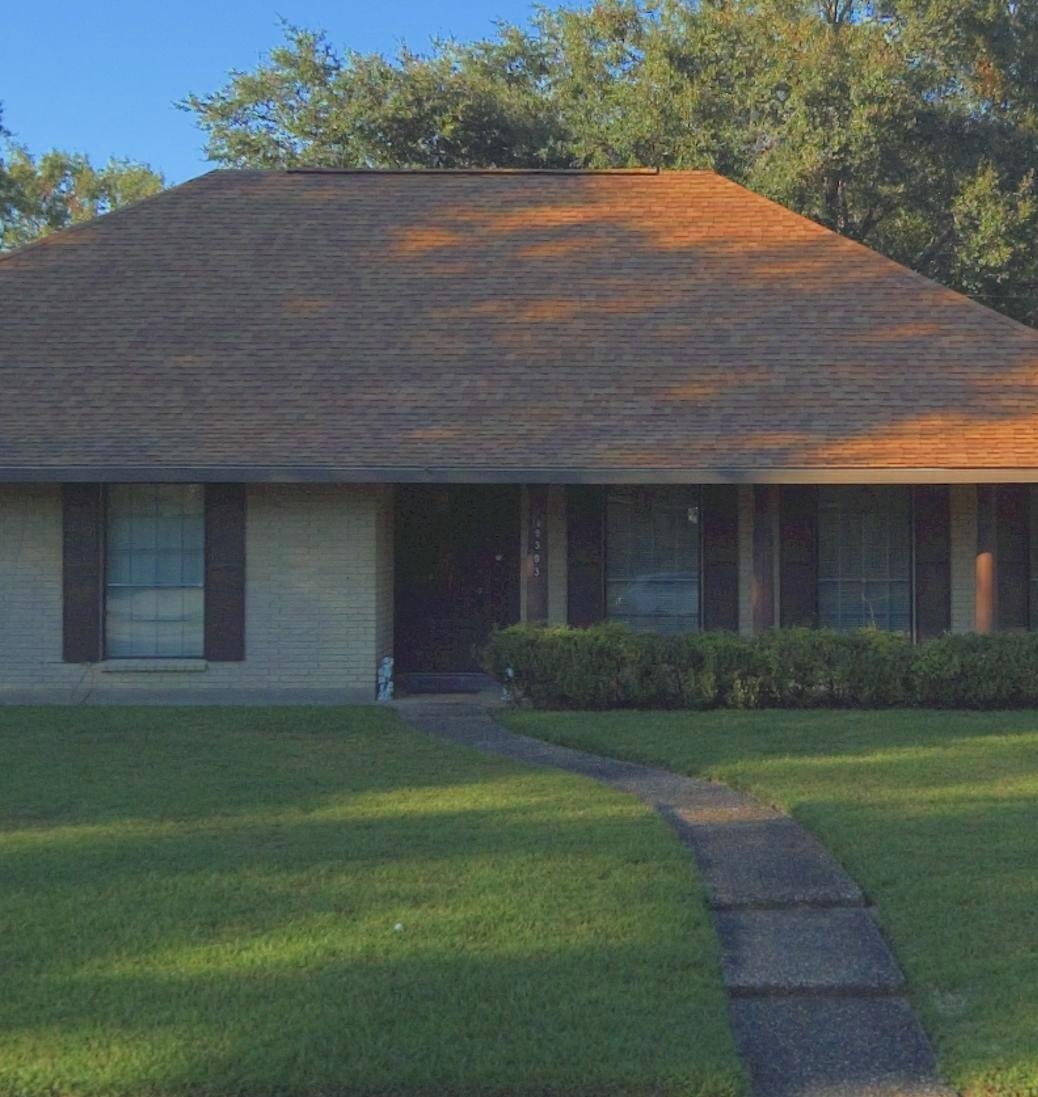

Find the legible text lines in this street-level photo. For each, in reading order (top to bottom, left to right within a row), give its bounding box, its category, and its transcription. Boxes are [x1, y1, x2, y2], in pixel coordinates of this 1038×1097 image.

[533, 527, 542, 578] StreetNumber: 9393